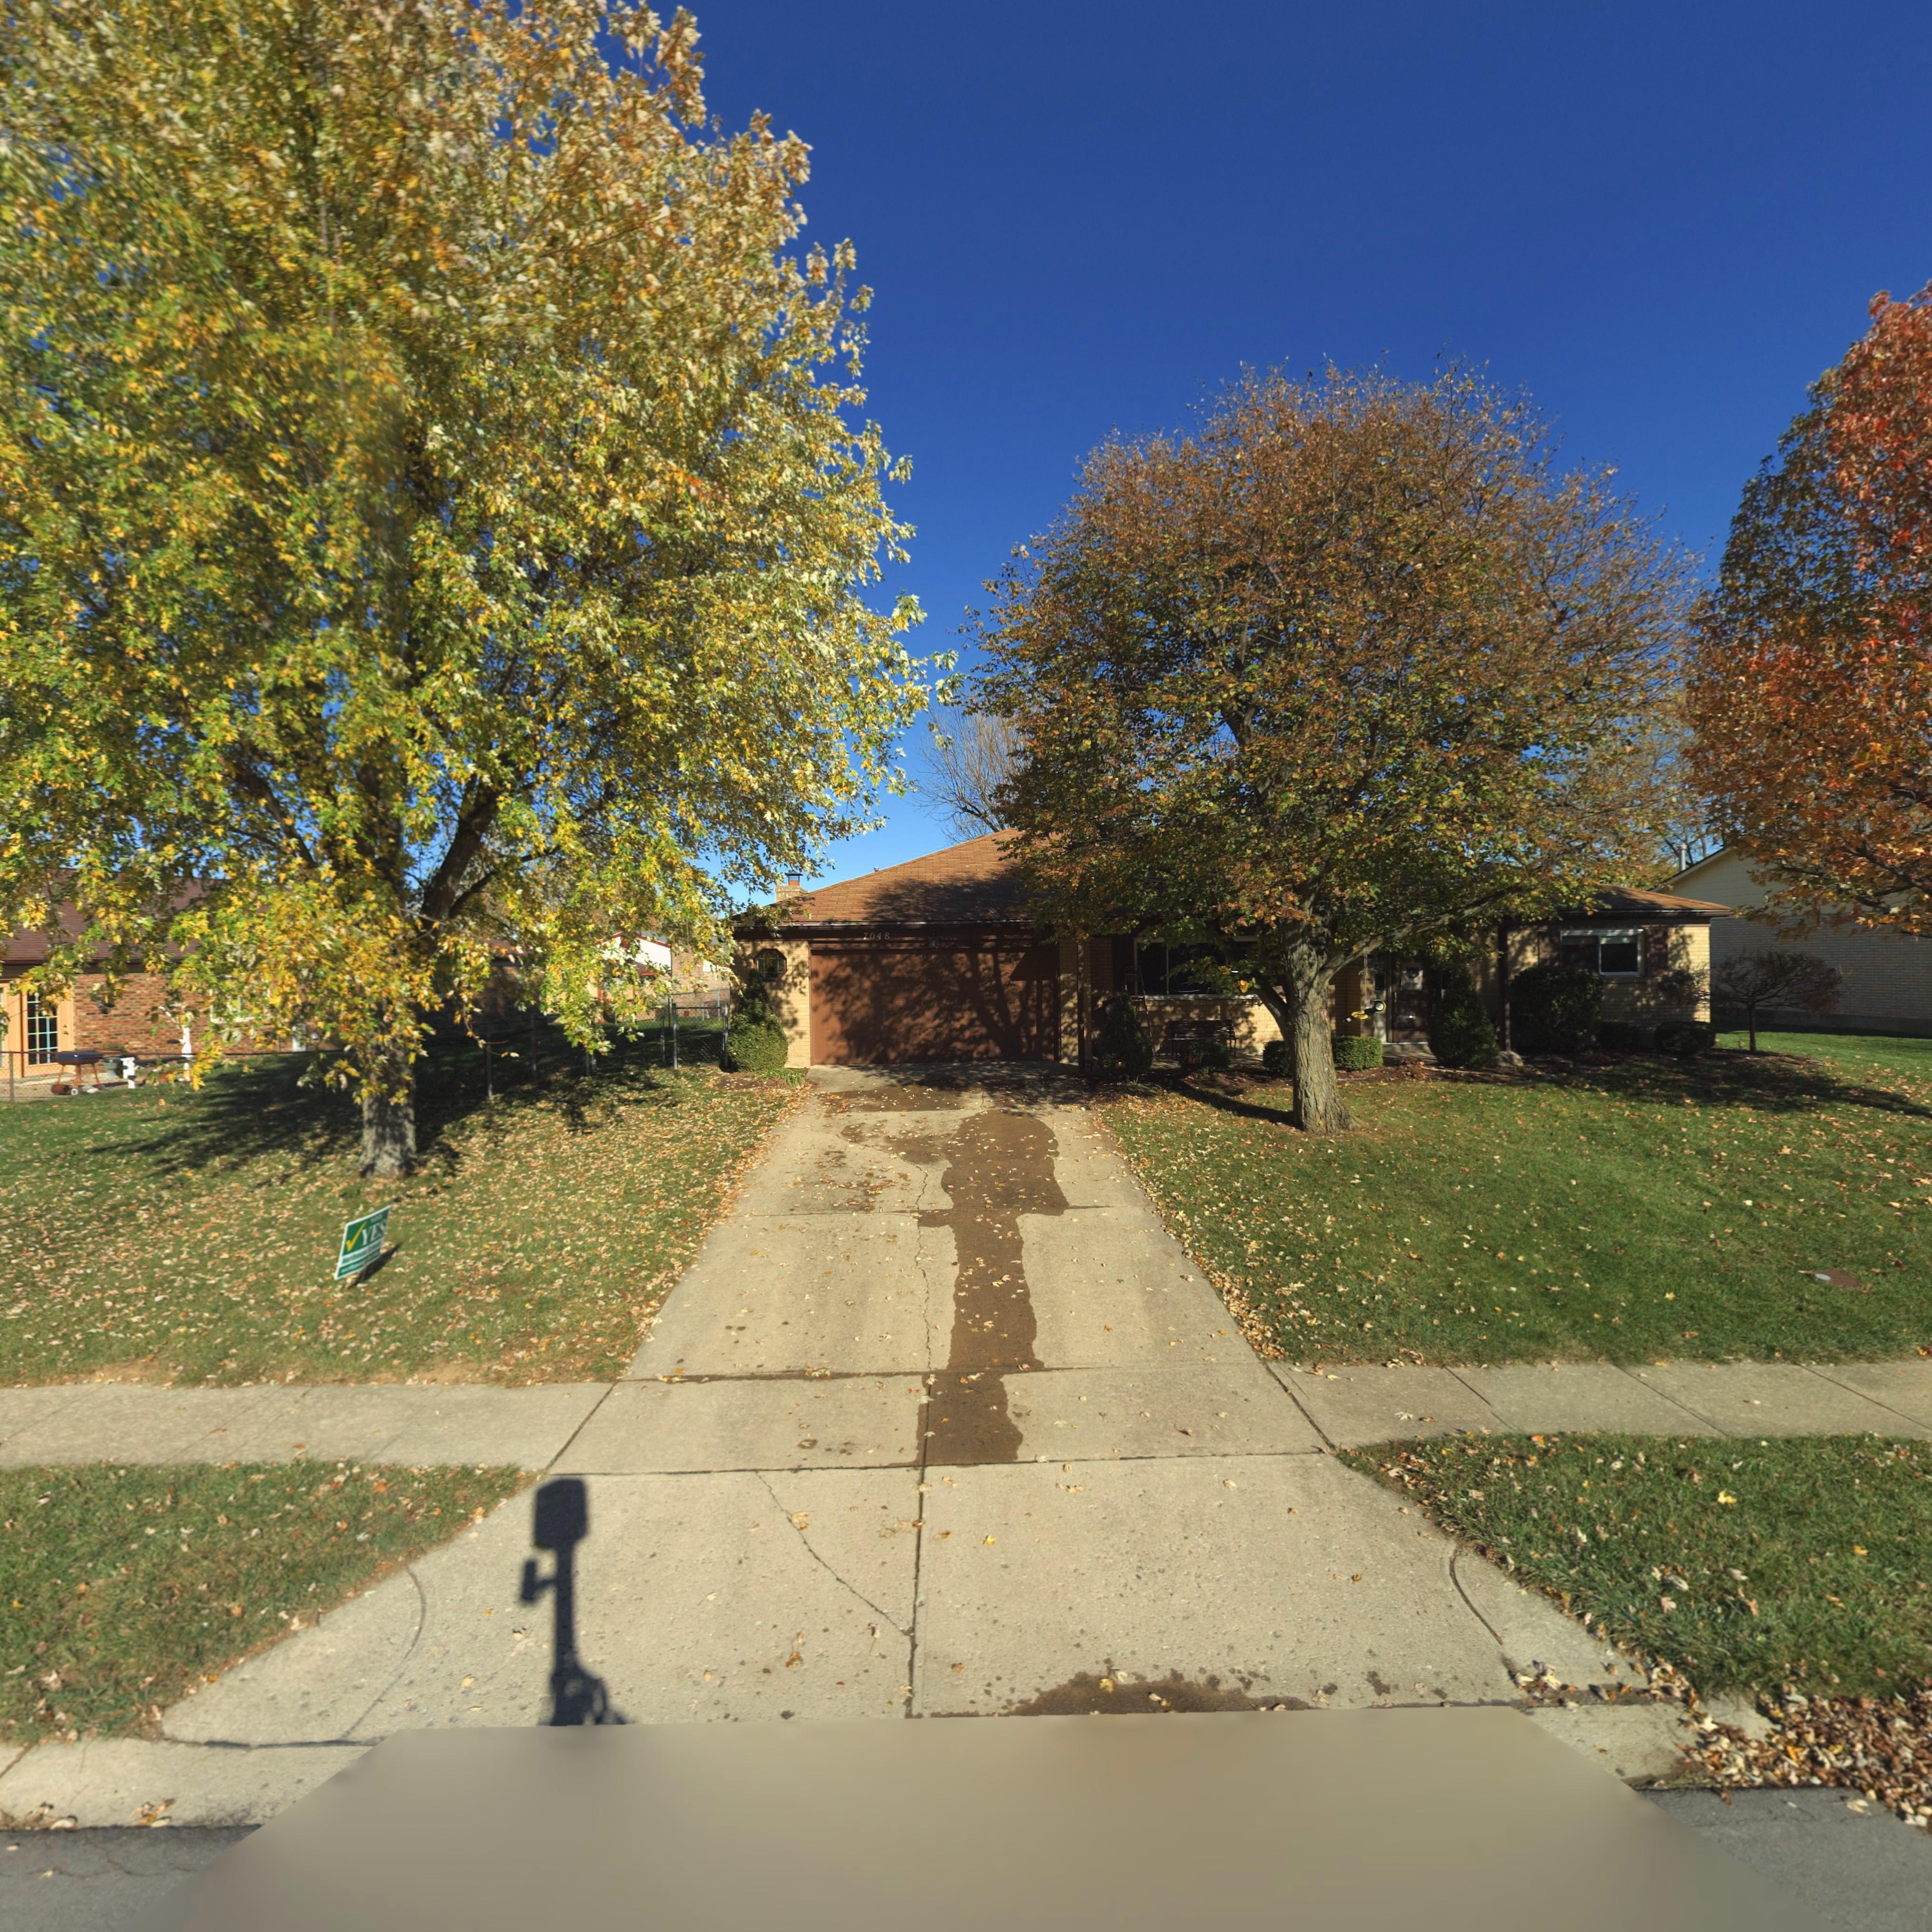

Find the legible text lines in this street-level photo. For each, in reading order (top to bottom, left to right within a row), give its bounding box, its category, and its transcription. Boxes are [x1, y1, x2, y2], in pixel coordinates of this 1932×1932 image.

[862, 931, 890, 940] StreetNumber: 7048